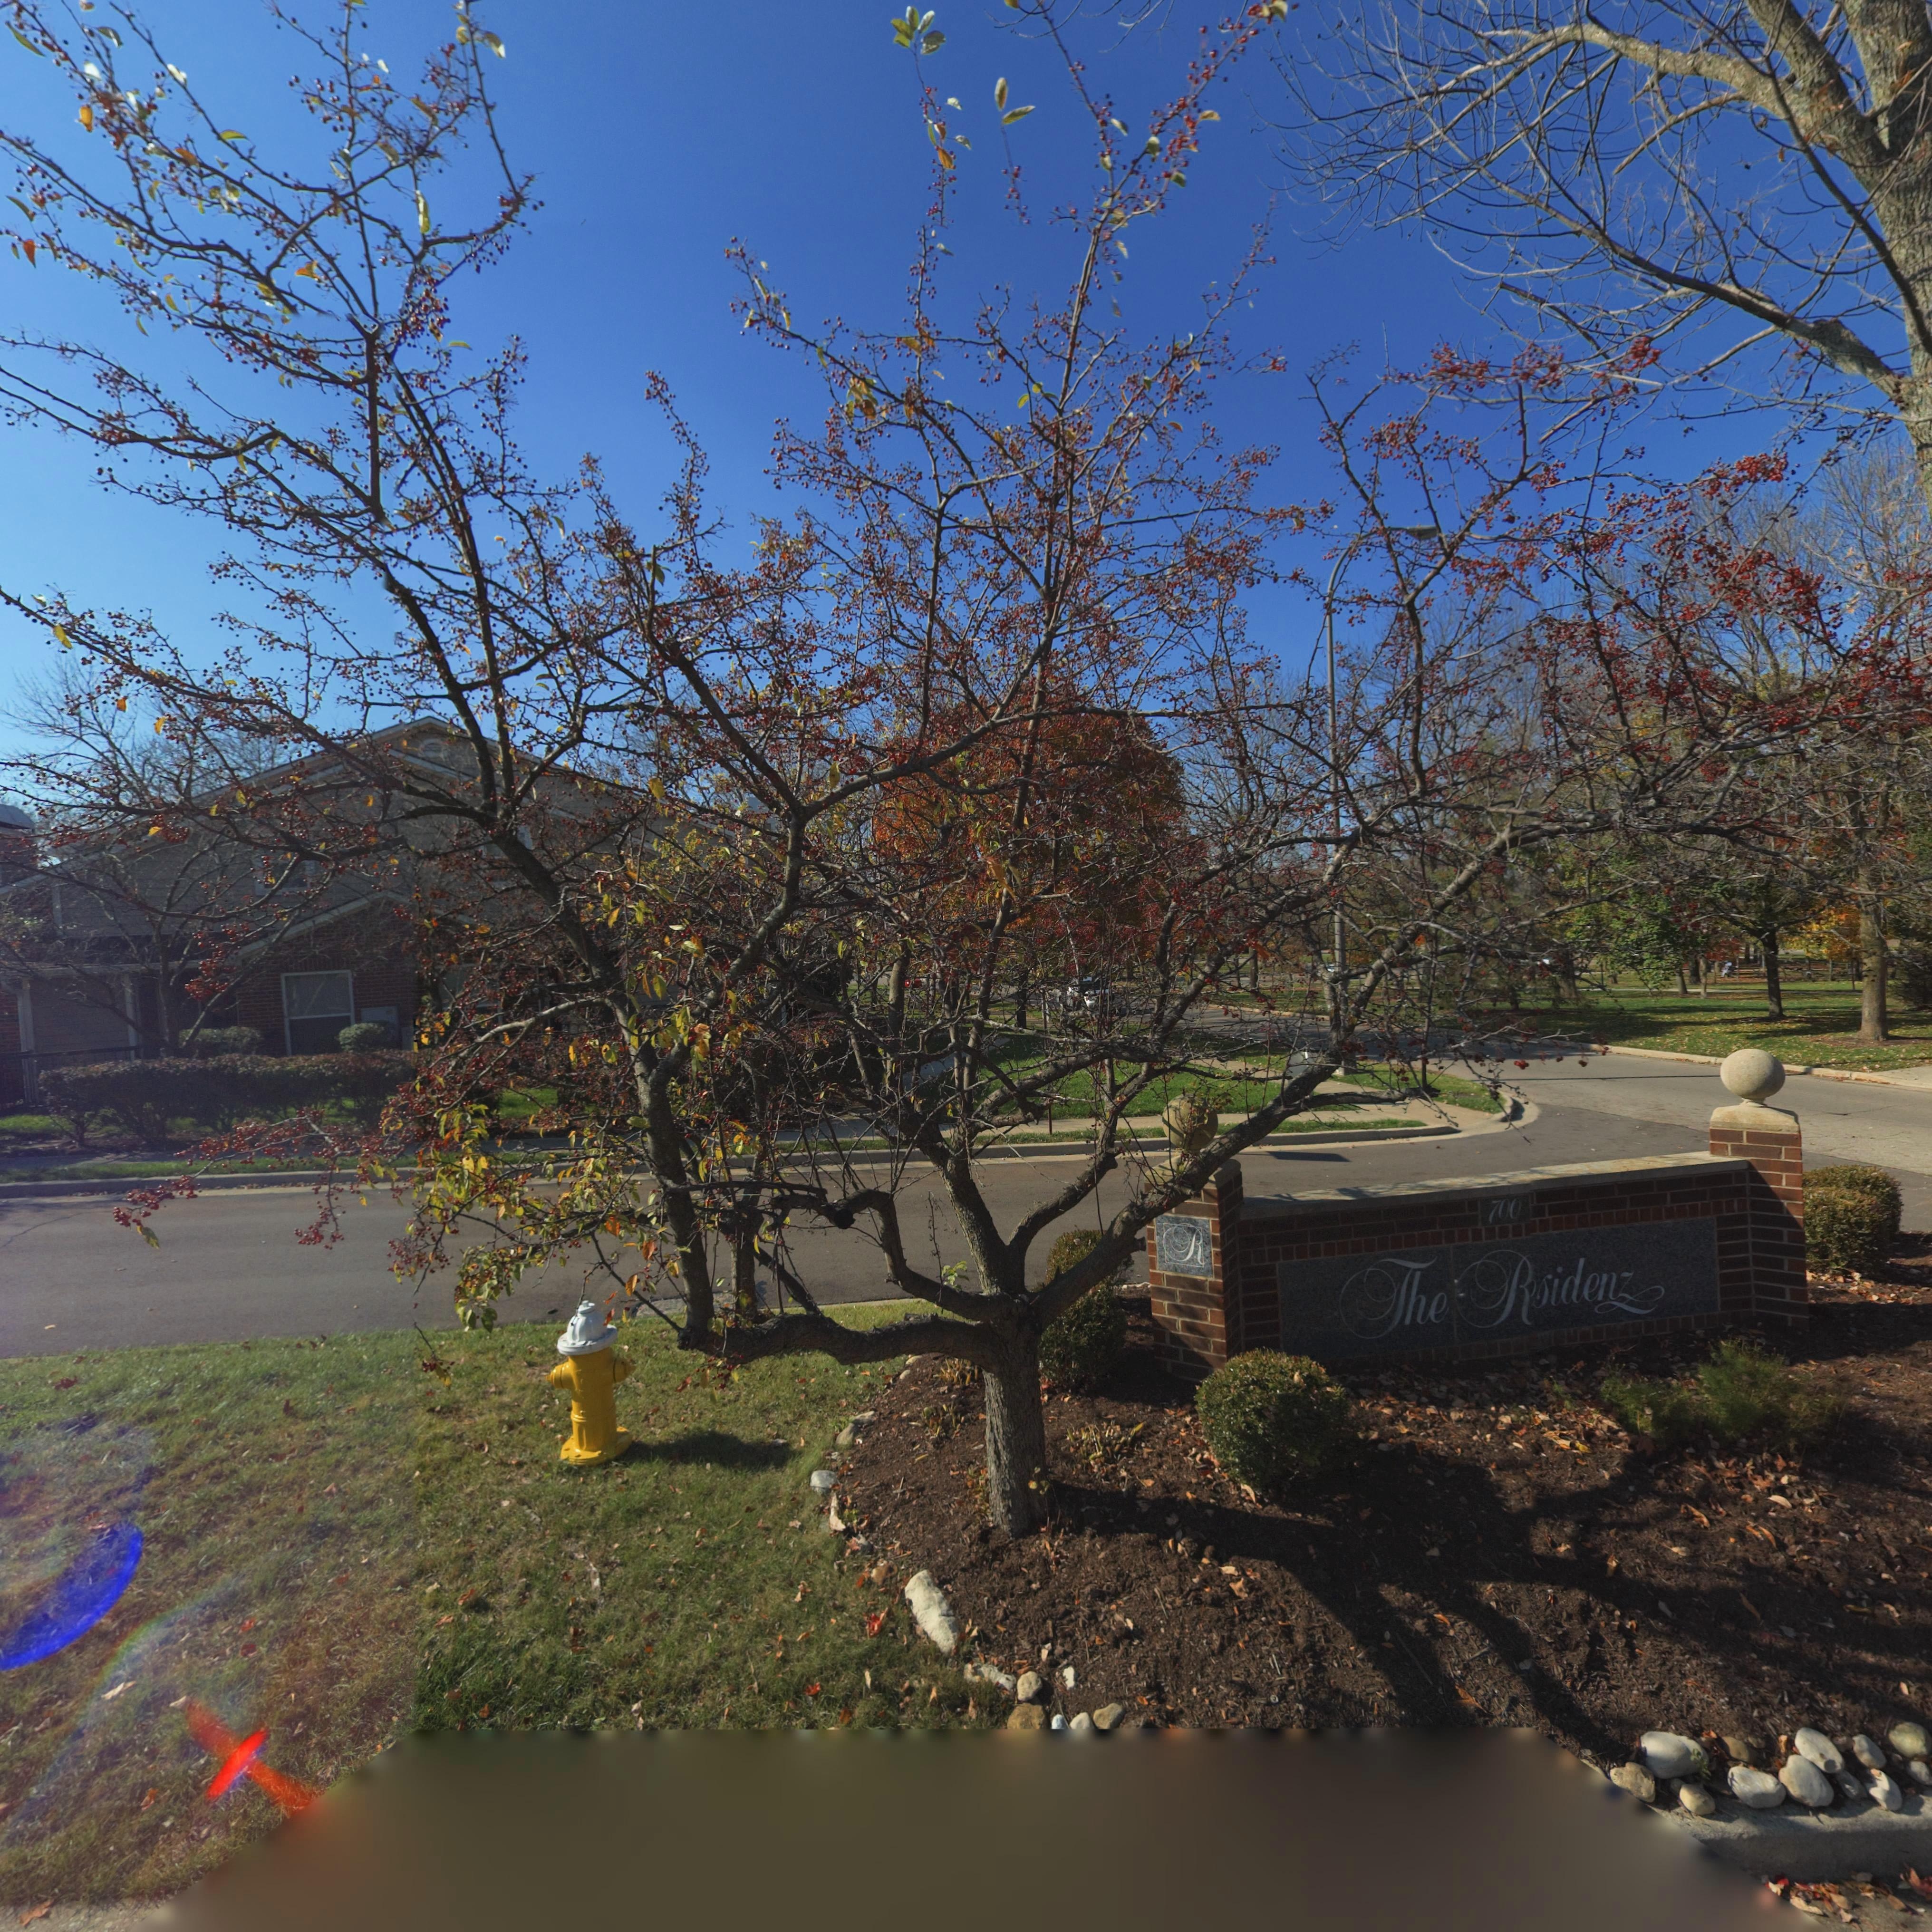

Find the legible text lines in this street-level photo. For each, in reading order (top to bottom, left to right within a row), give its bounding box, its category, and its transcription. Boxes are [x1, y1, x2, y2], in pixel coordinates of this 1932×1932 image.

[1485, 1195, 1525, 1227] StreetNumber: 700
[1335, 1242, 1674, 1346] None: The R*idenz